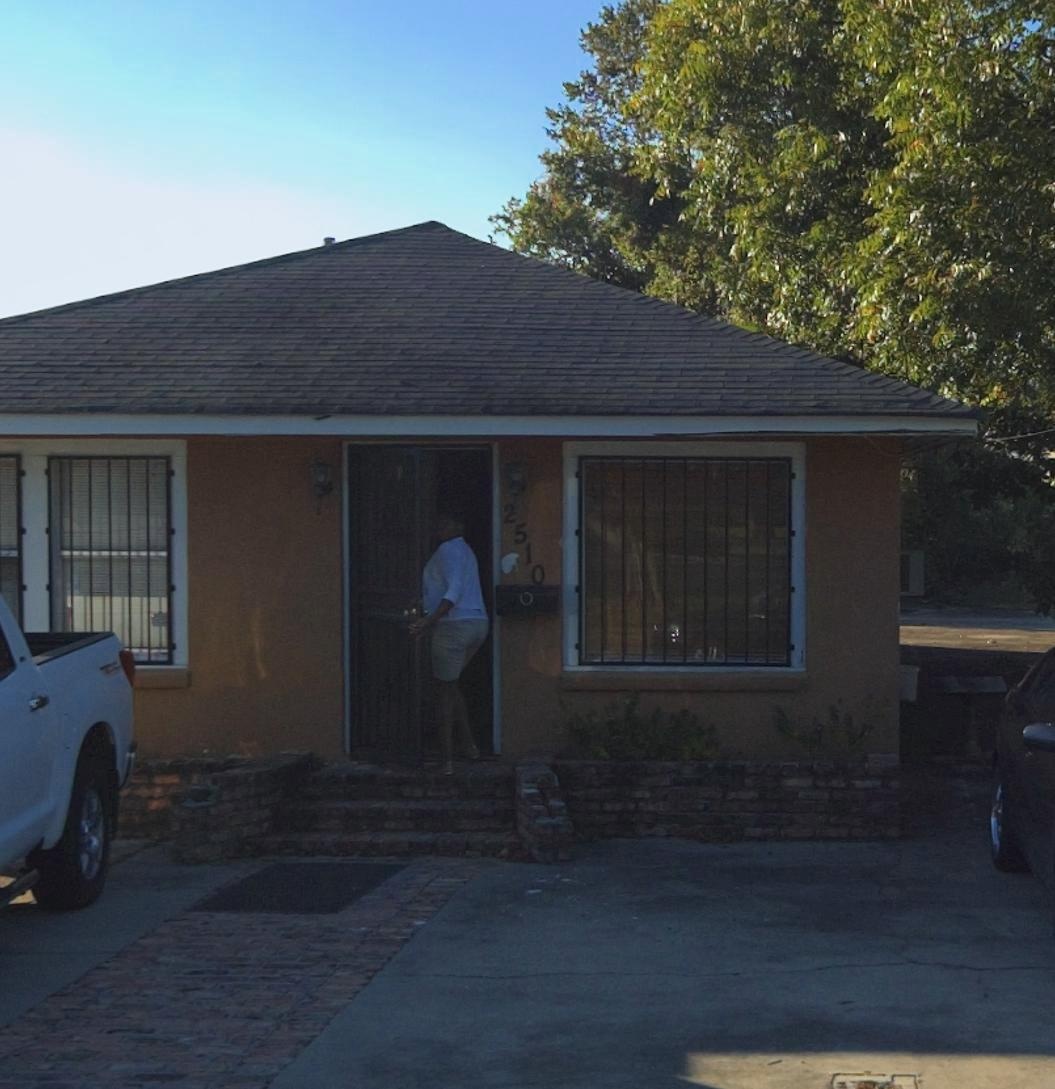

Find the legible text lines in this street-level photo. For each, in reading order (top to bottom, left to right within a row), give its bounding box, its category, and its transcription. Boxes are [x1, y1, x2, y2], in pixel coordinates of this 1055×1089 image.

[502, 502, 546, 586] StreetNumber: 2510